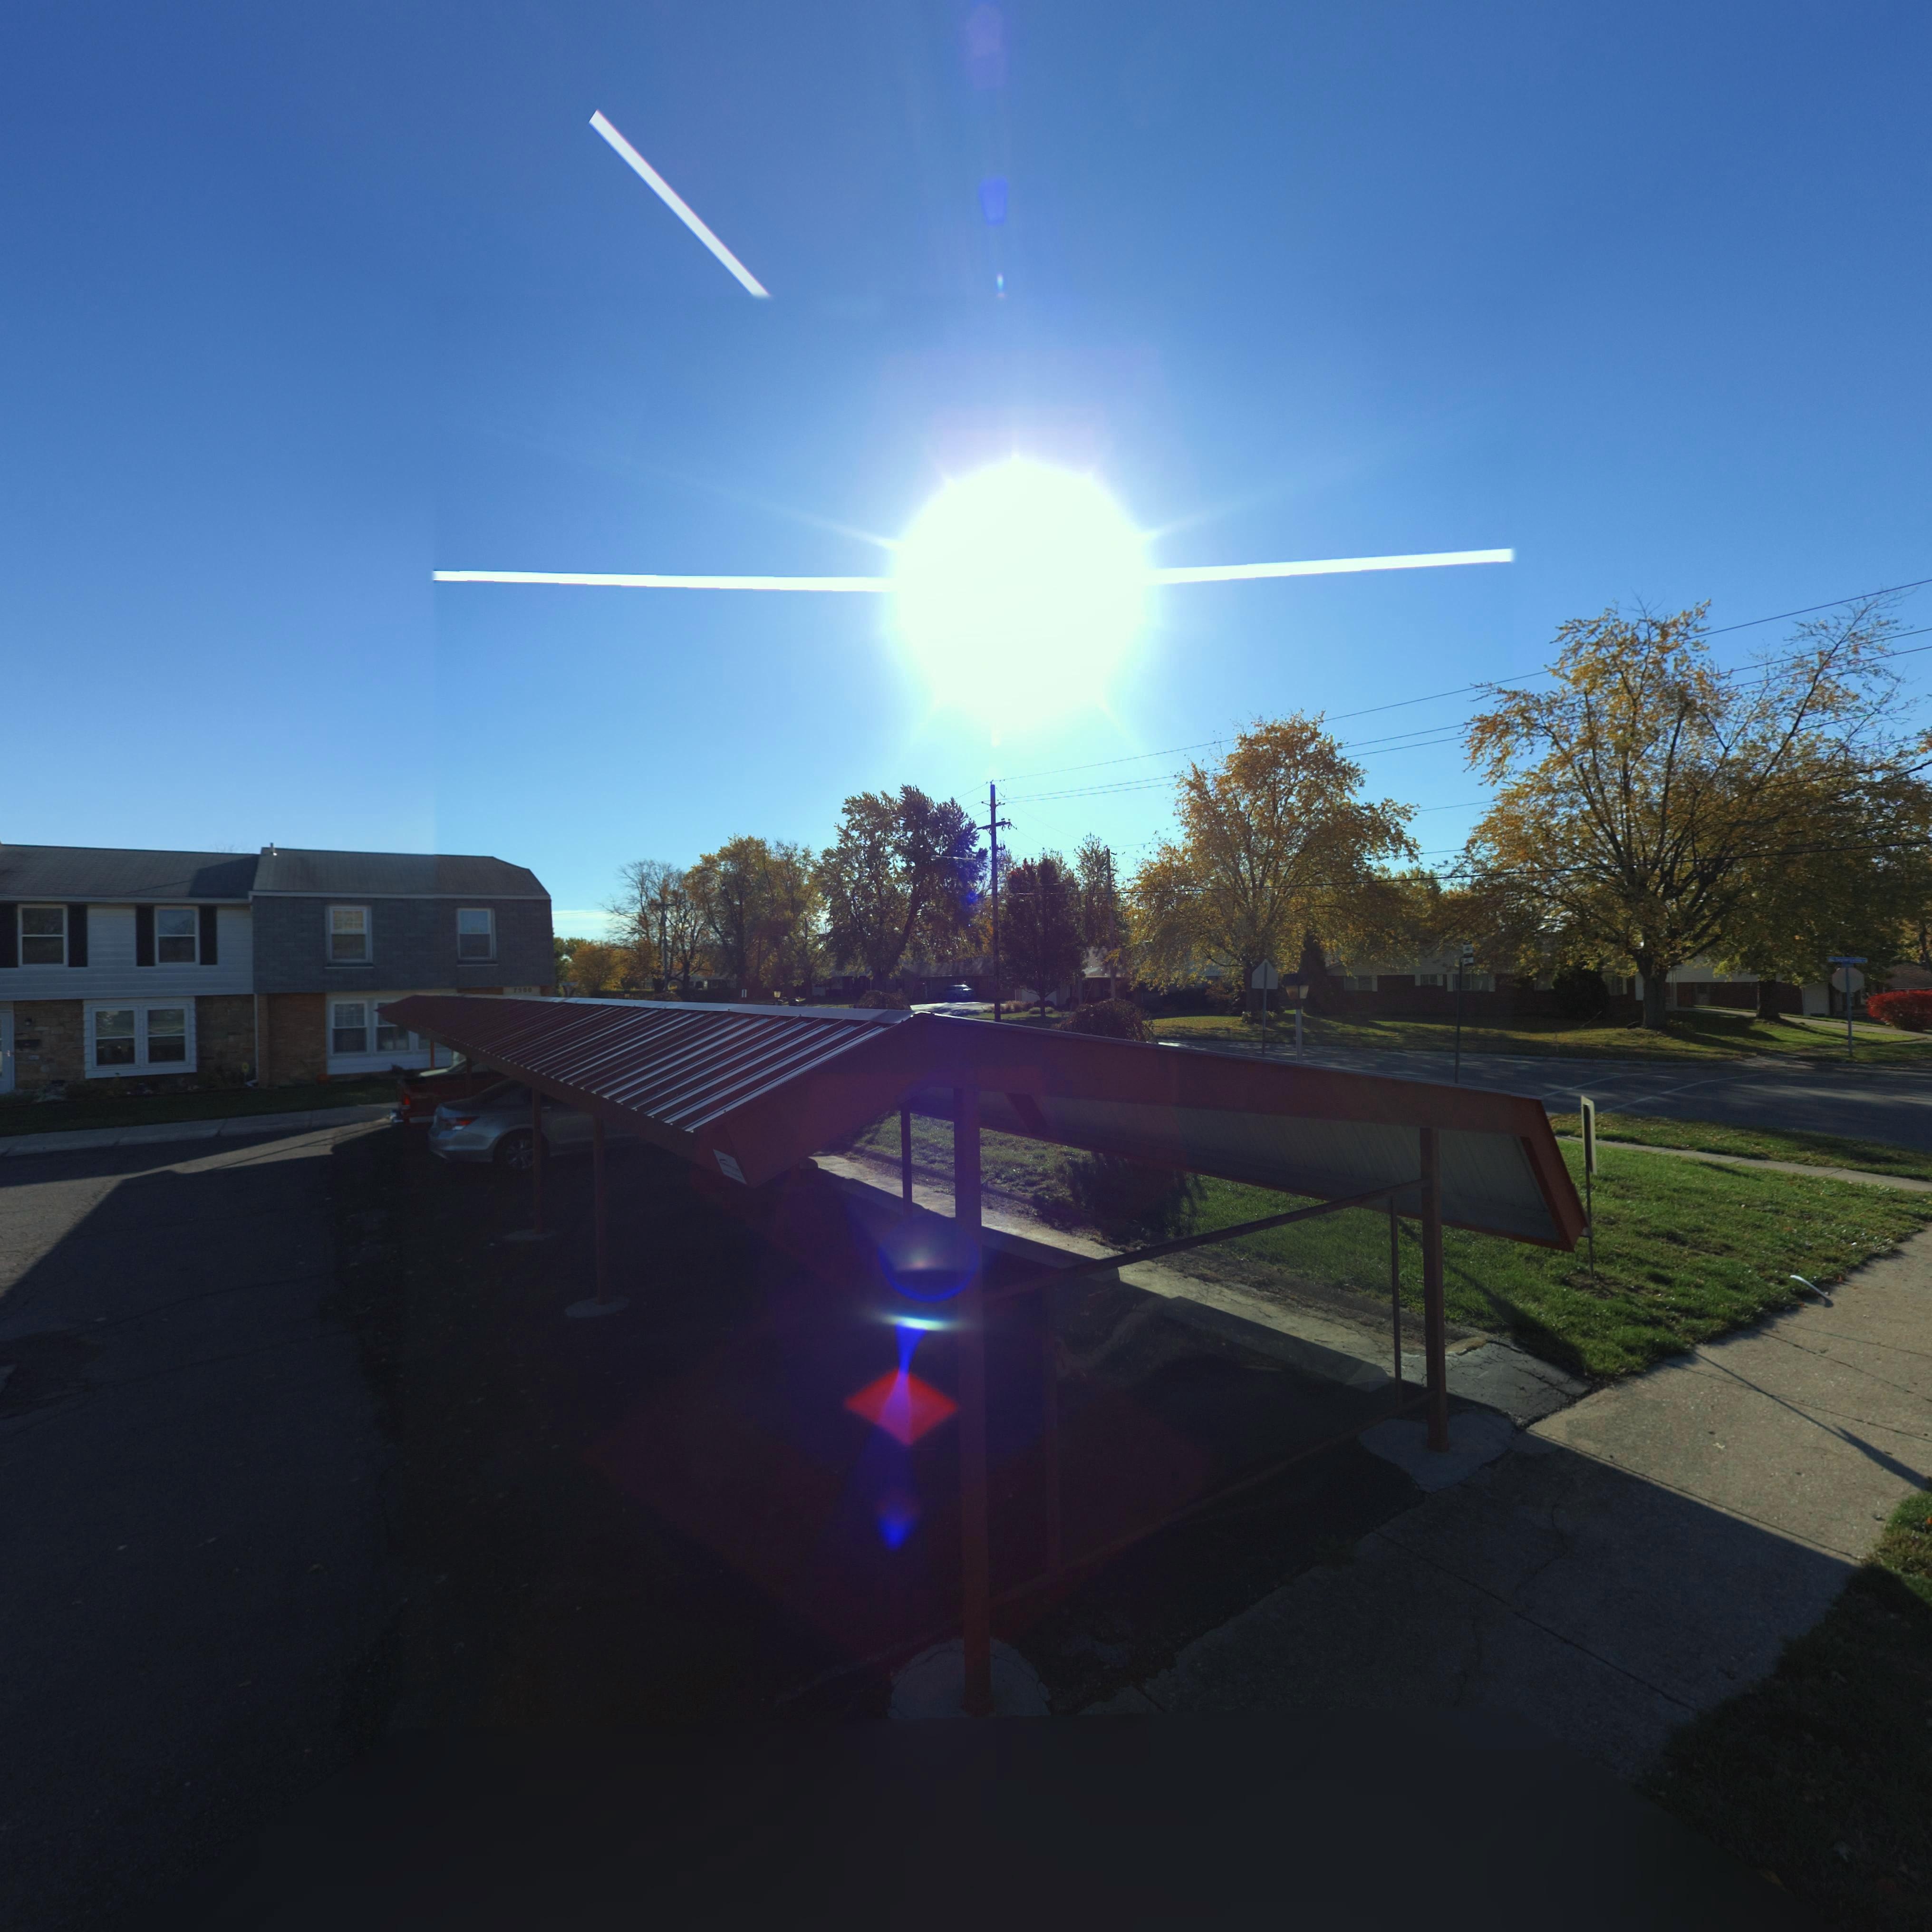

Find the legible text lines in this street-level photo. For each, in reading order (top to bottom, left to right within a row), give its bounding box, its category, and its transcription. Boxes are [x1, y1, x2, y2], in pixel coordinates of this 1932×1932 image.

[512, 987, 532, 993] StreetNumber: 750